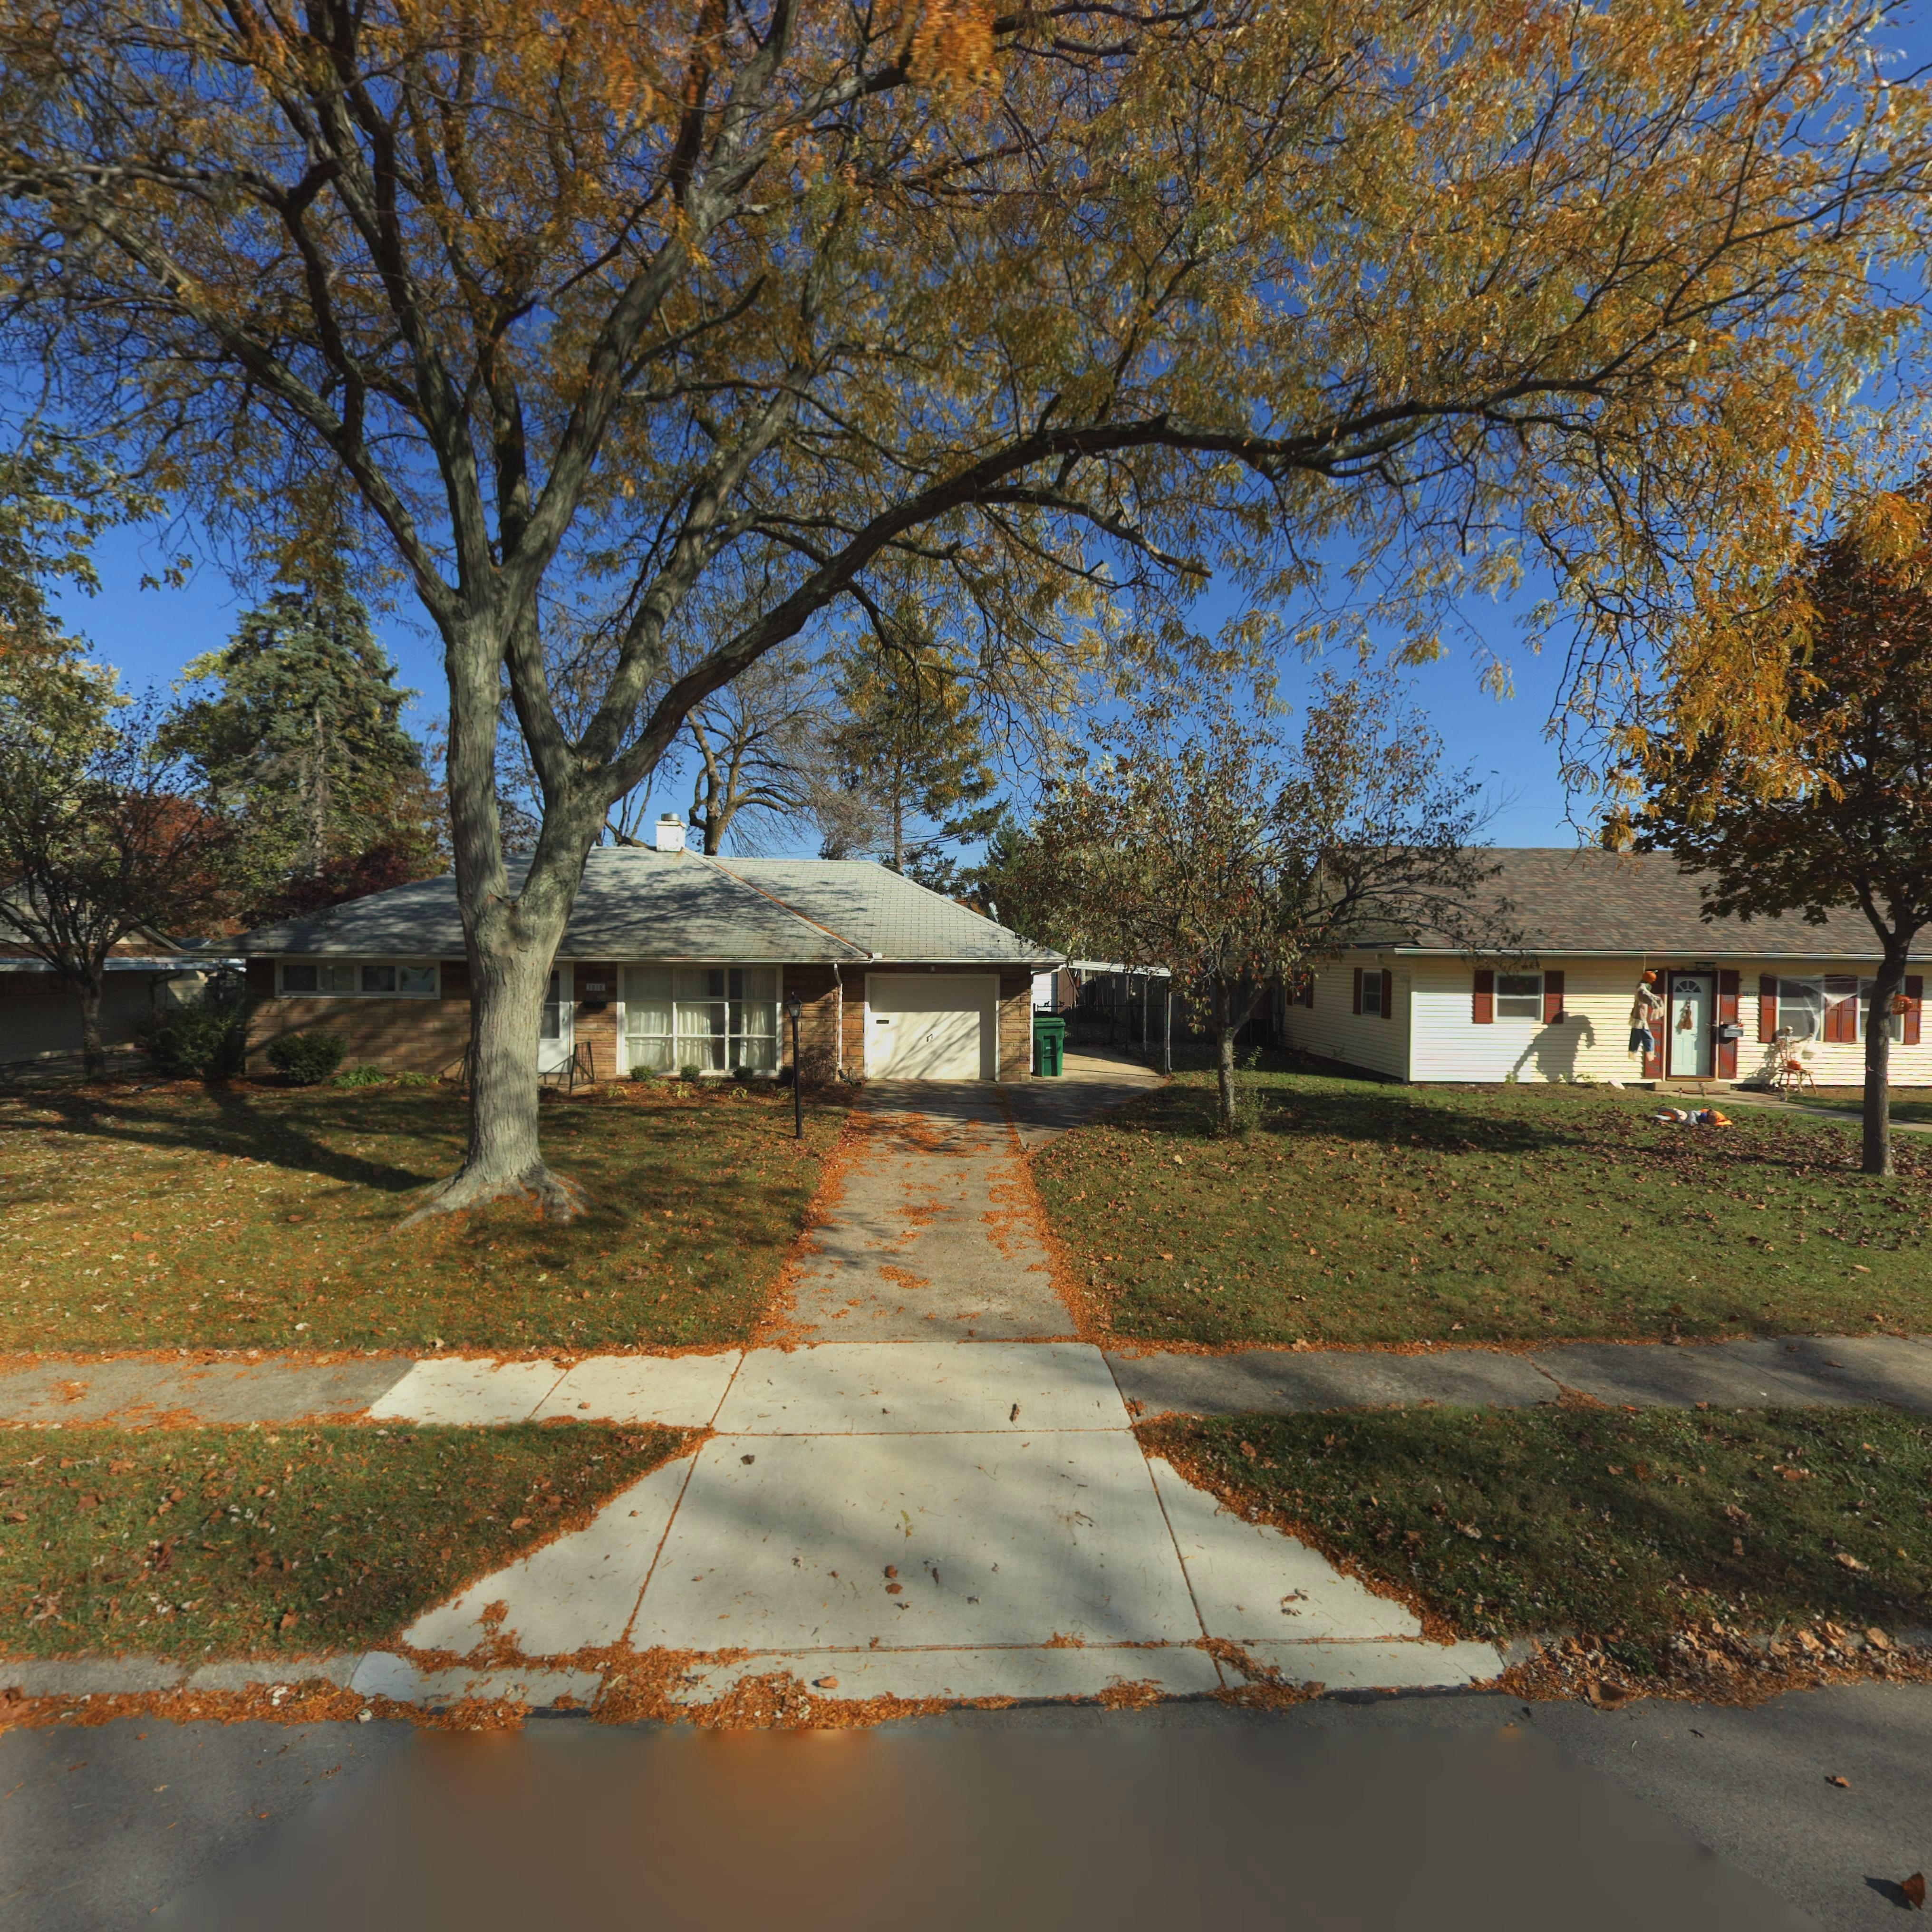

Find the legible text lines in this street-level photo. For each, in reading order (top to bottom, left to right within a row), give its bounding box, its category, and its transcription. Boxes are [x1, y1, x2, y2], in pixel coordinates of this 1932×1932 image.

[587, 984, 604, 991] StreetNumber: 3818
[1740, 991, 1757, 997] StreetNumber: 3822